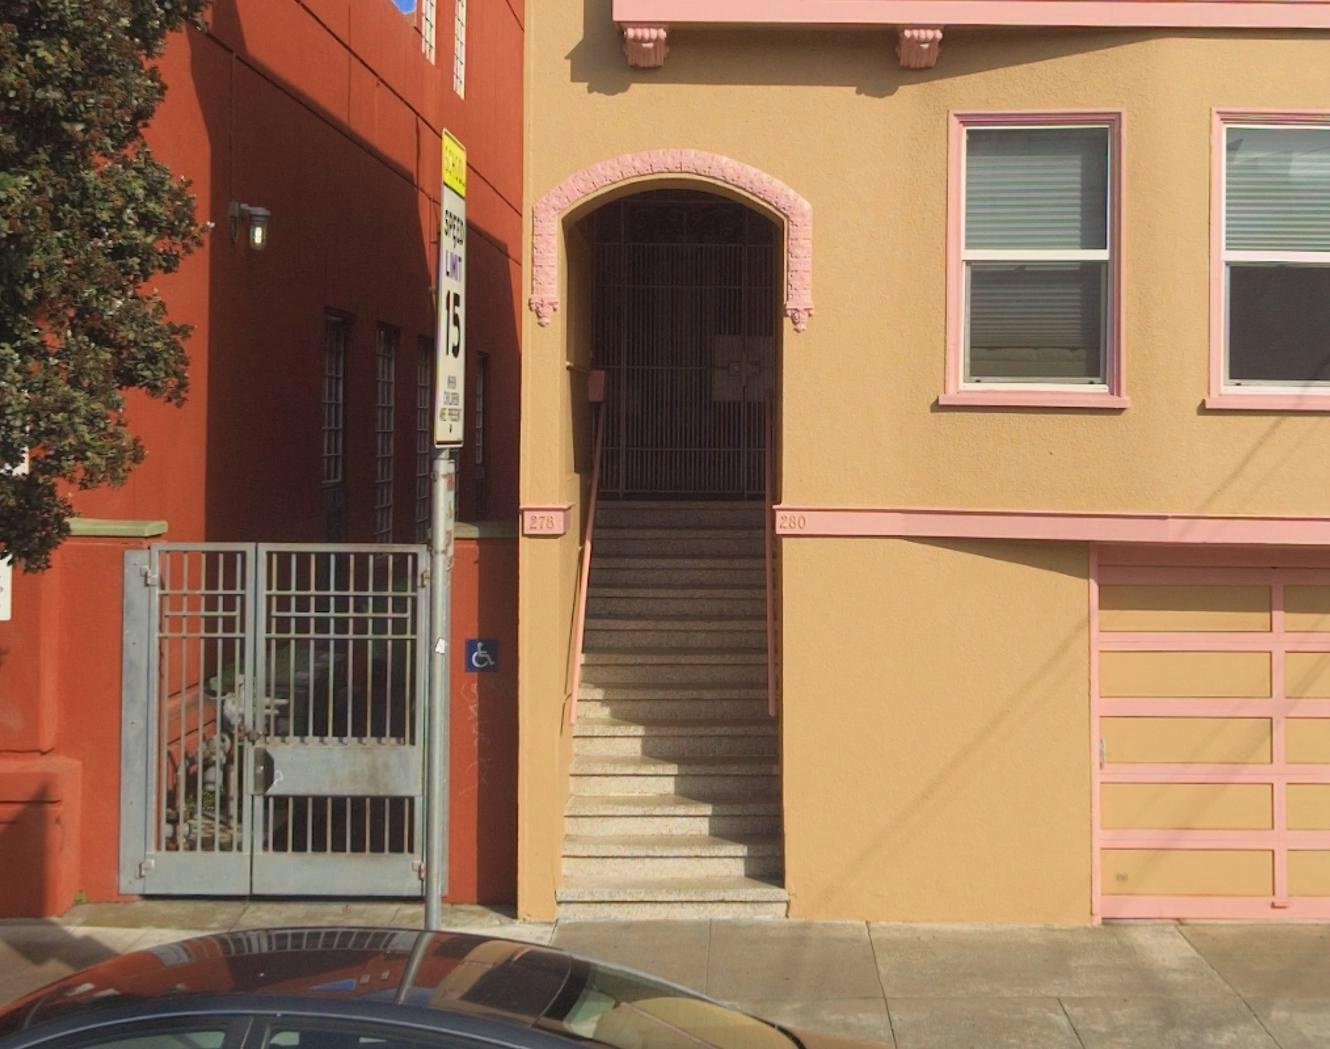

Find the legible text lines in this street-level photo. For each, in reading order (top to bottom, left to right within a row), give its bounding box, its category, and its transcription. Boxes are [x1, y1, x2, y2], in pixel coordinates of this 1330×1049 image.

[444, 287, 461, 361] None: 15
[528, 514, 556, 531] StreetNumber: 278
[779, 514, 807, 530] StreetNumber: 280